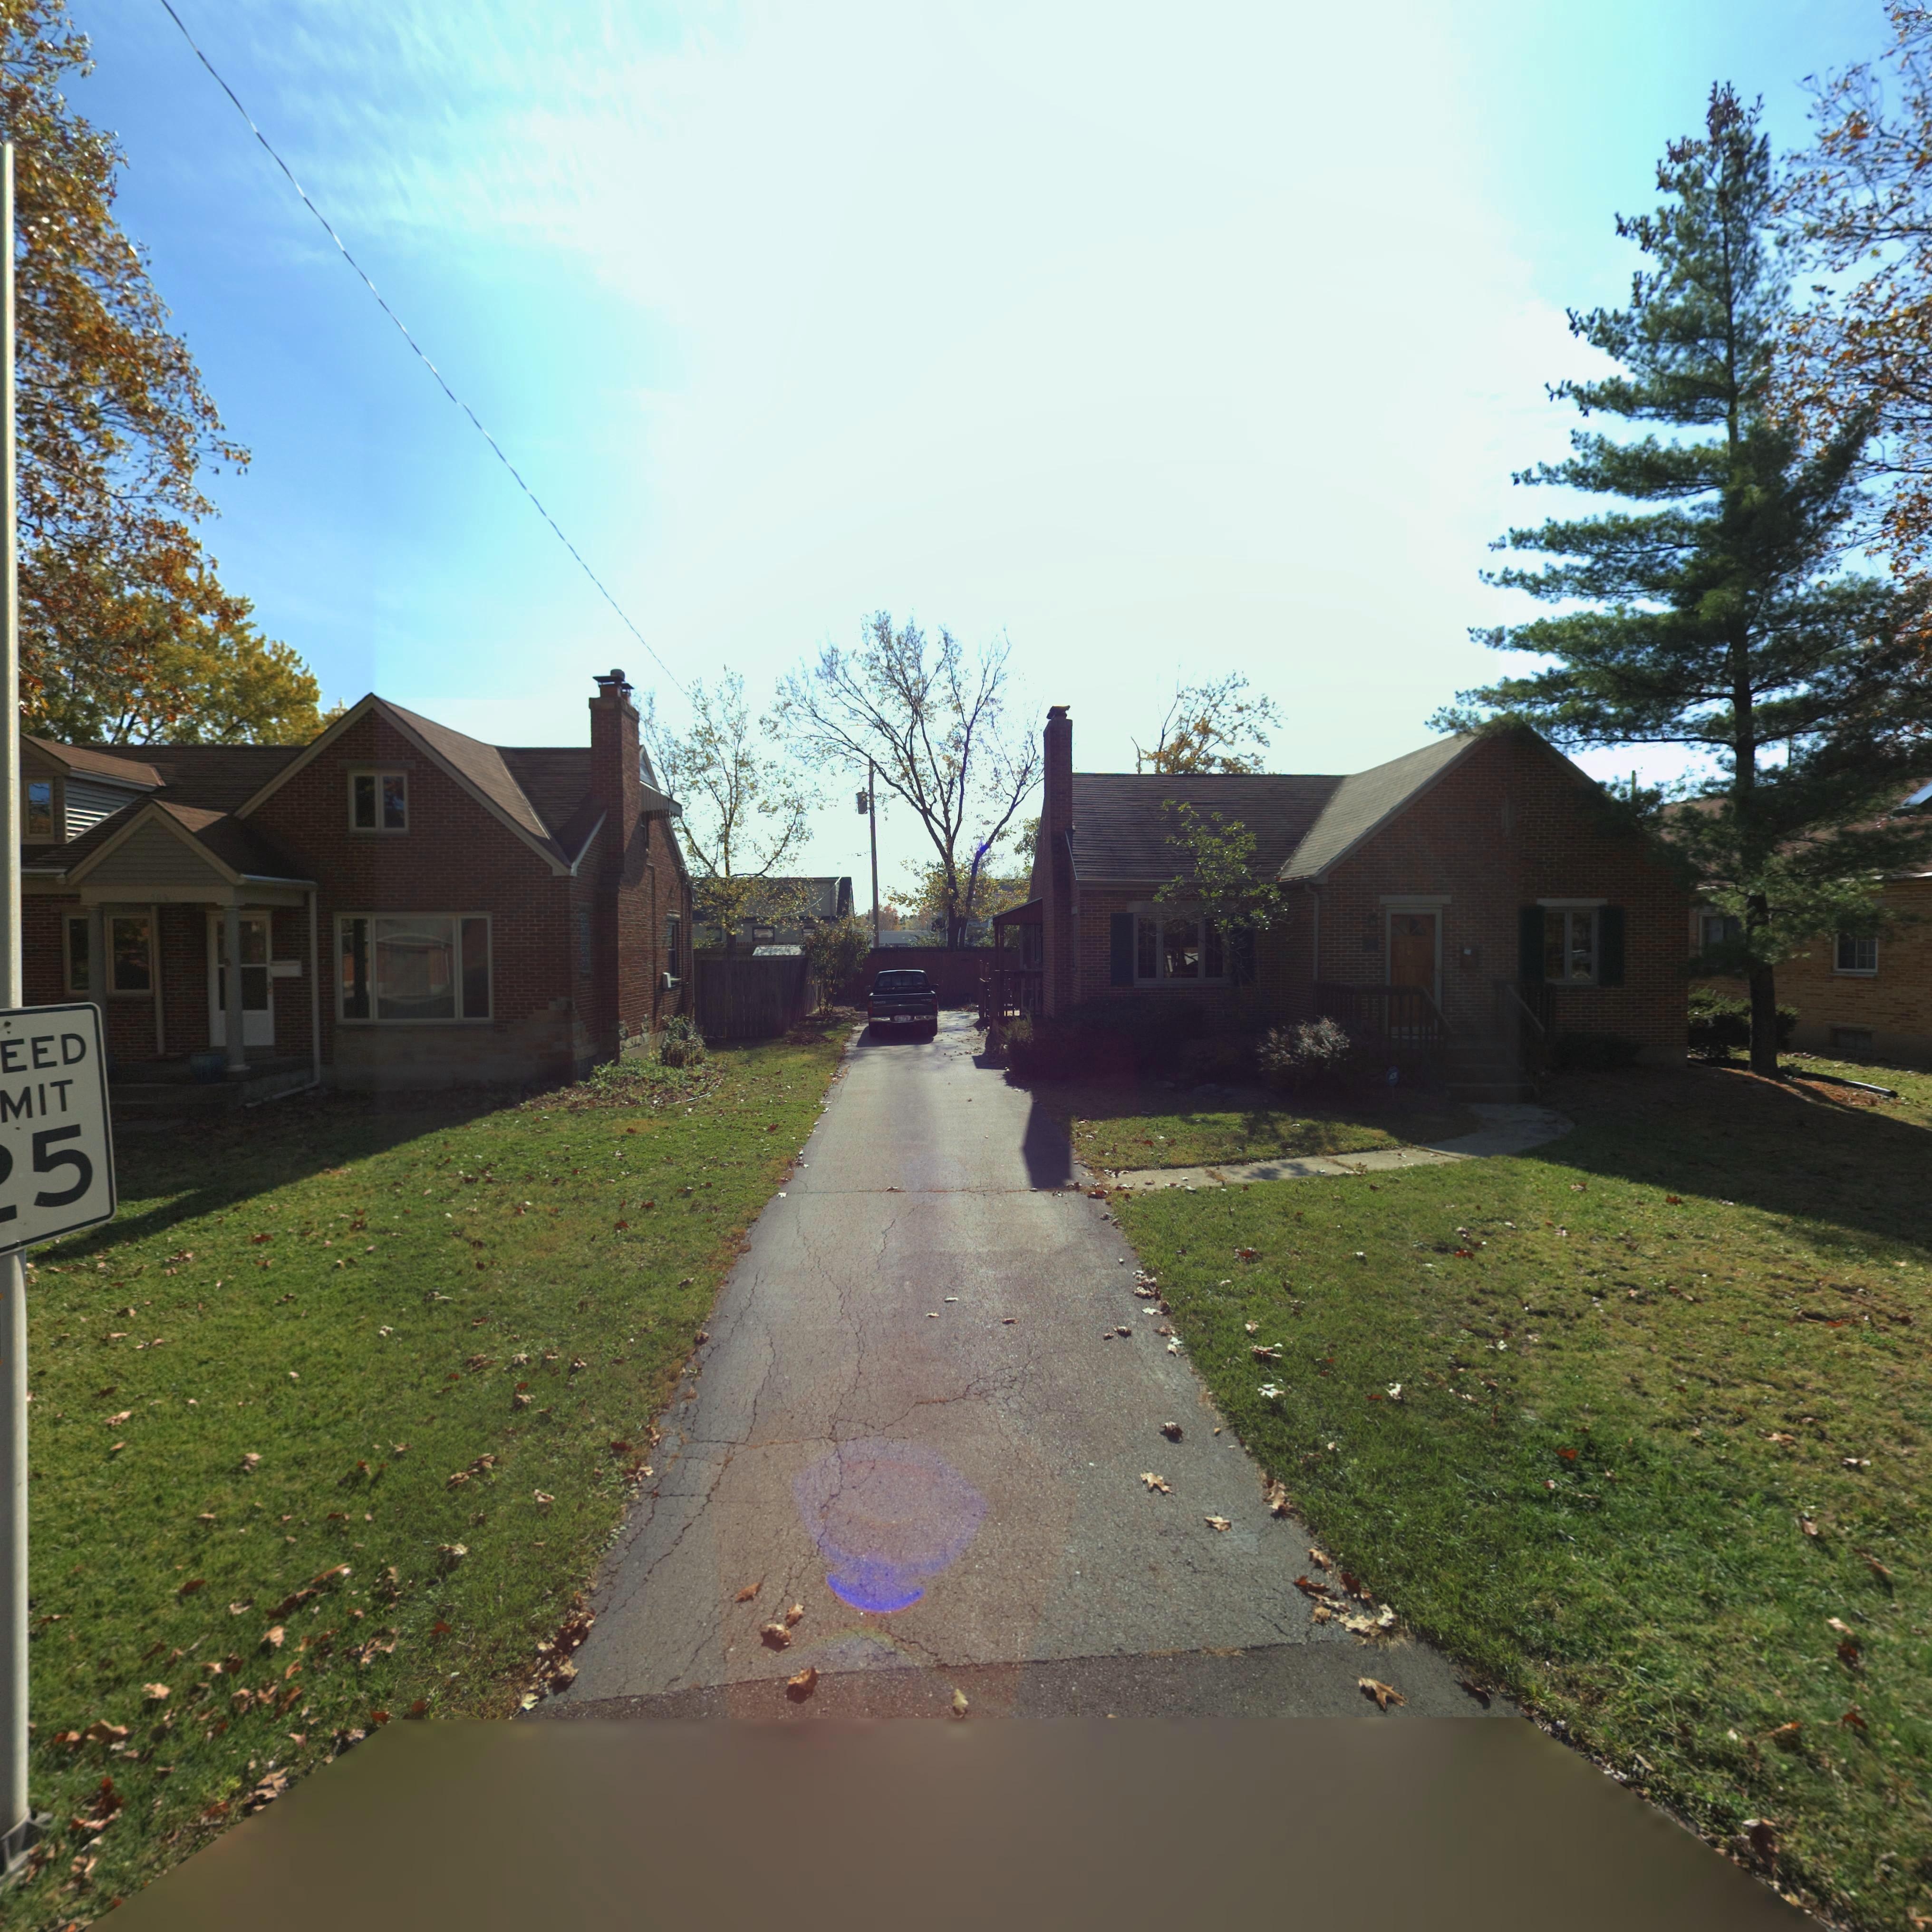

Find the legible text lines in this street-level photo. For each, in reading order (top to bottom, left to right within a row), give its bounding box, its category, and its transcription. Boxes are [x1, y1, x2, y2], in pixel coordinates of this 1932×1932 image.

[0, 1033, 87, 1074] None: EED
[0, 1079, 74, 1124] None: MIT
[31, 1122, 93, 1208] None: 5